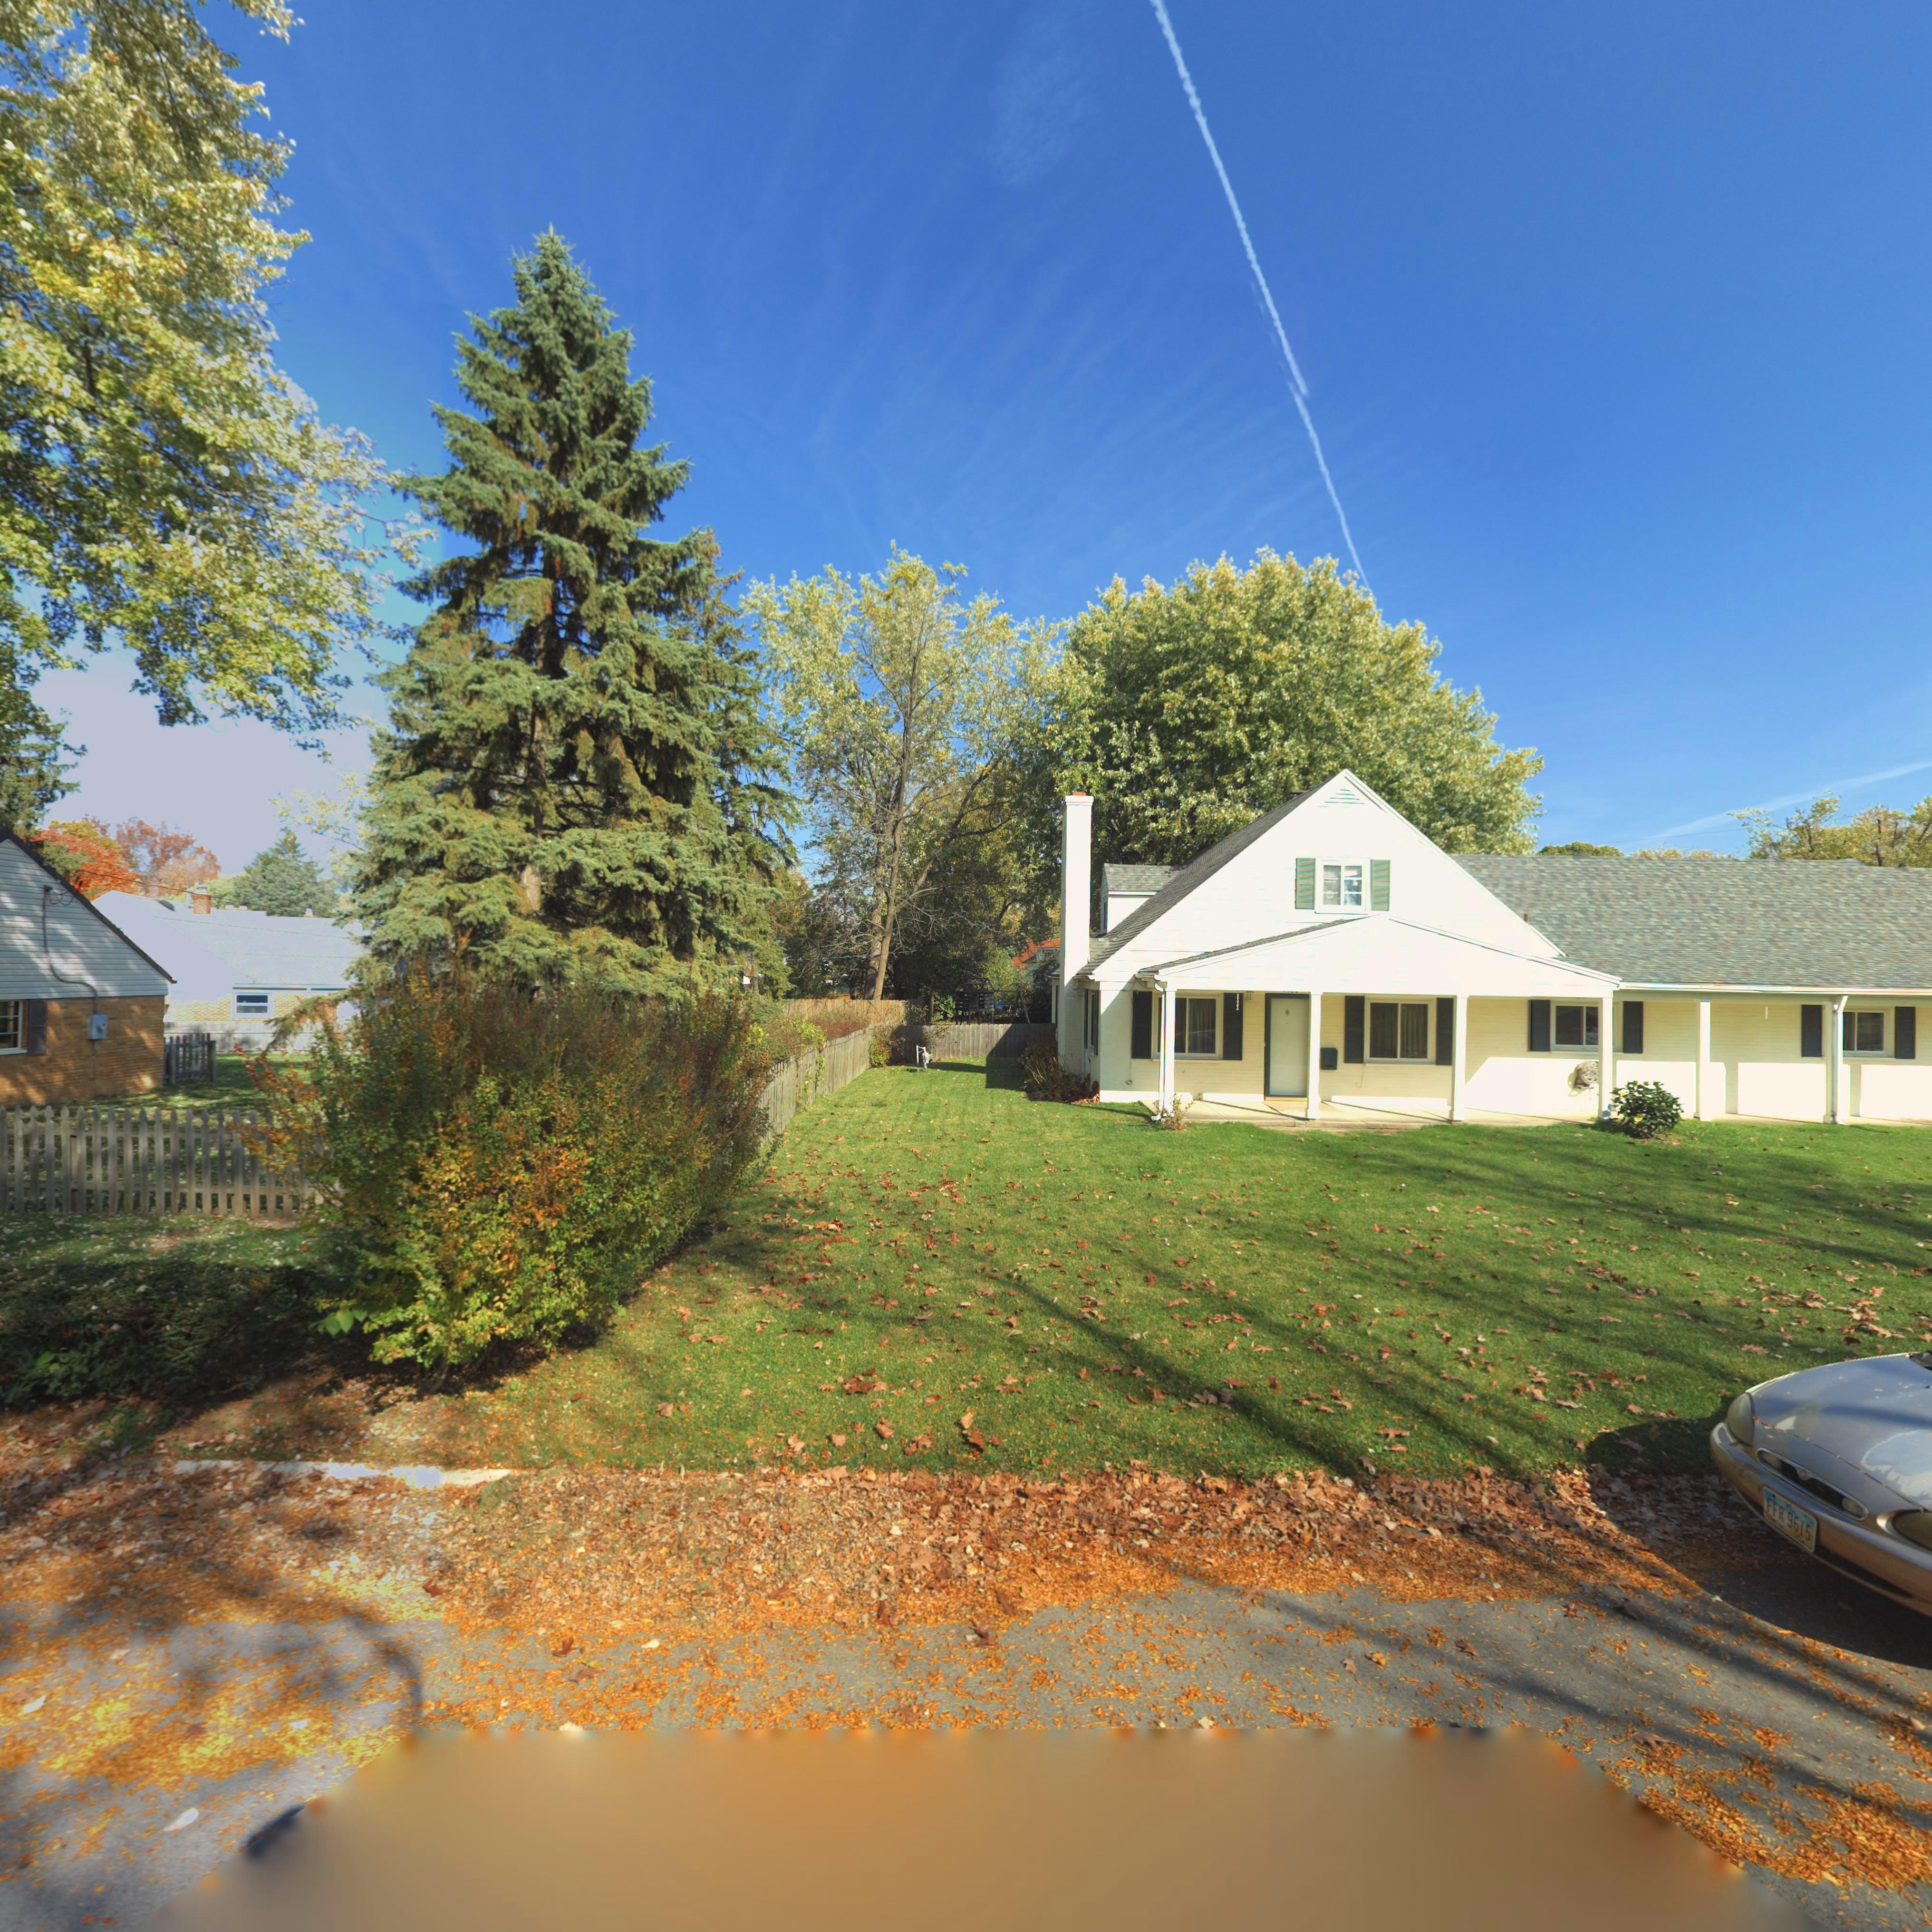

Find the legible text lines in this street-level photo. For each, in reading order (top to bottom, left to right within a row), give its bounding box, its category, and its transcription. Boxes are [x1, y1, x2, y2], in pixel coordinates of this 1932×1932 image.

[1765, 1493, 1813, 1542] None: FFR 9615